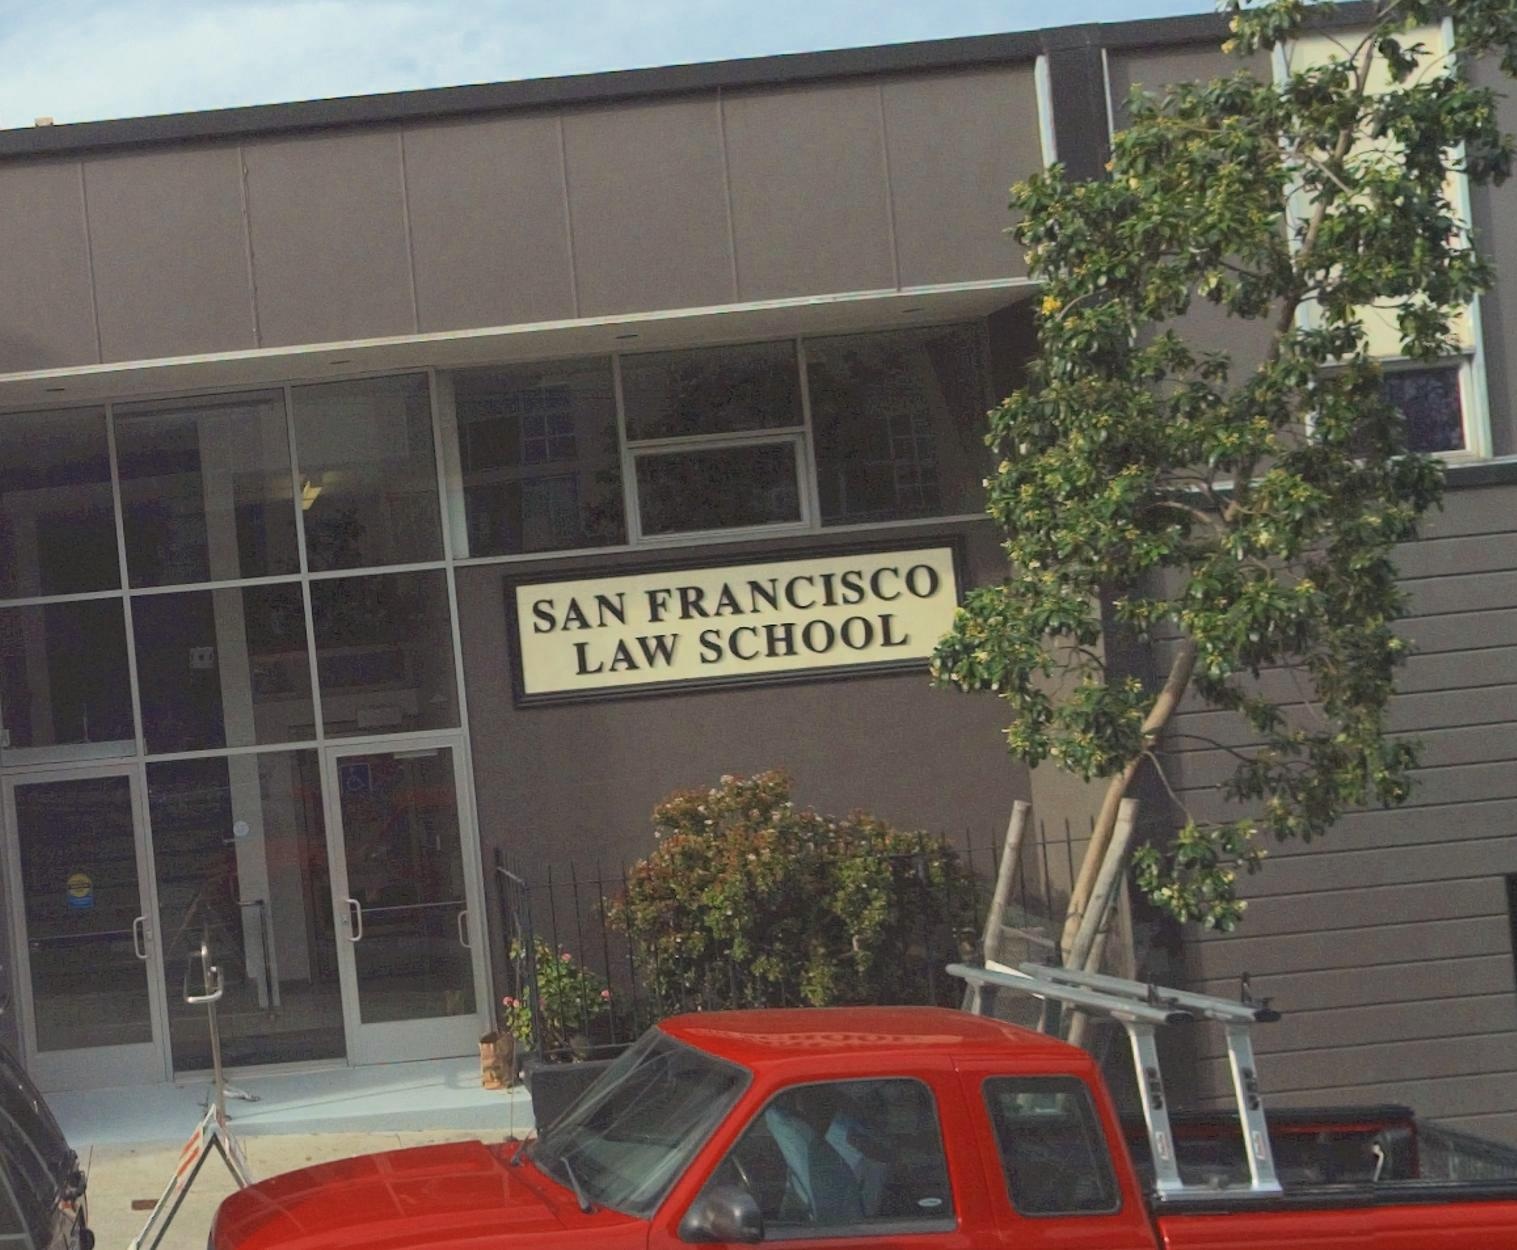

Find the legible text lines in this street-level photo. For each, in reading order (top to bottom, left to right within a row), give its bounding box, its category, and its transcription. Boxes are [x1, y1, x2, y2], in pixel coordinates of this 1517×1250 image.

[526, 558, 945, 638] BusinessName: SAN FRANCISCO
[568, 607, 918, 680] BusinessName: LAW SCHOOL